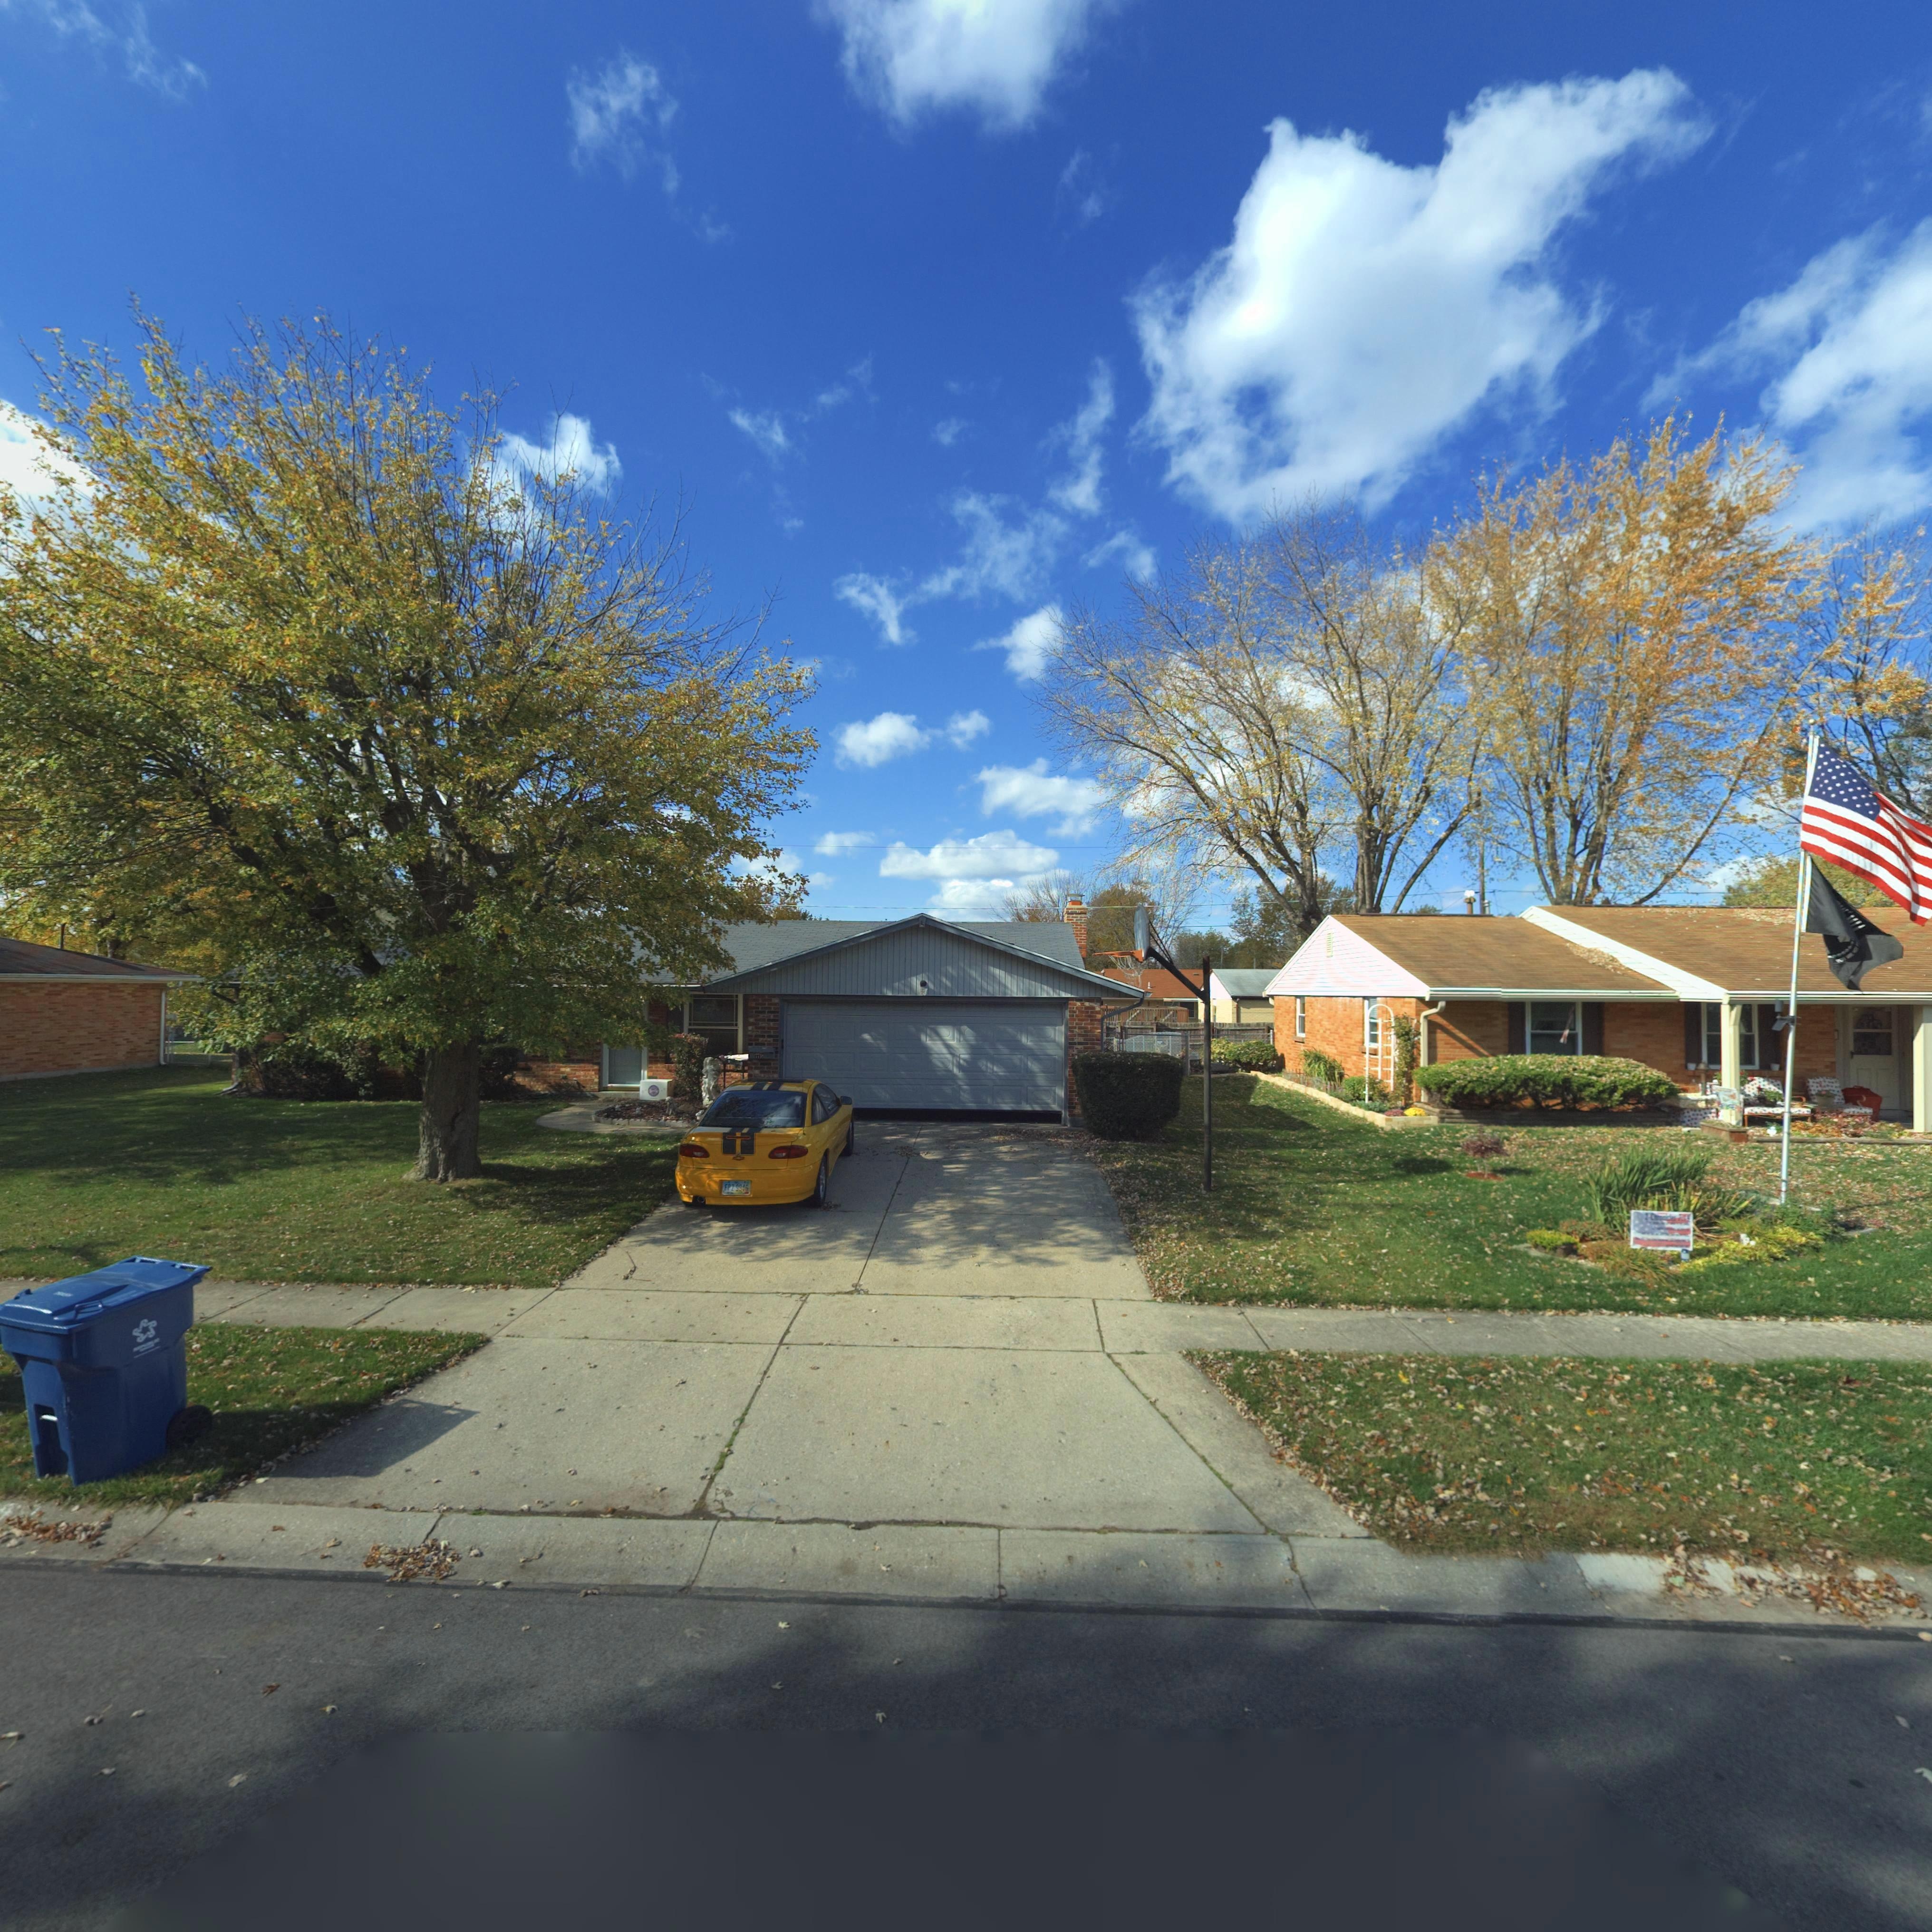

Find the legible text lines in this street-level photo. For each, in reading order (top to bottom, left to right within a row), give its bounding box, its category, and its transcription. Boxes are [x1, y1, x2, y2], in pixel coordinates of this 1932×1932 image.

[754, 1053, 764, 1059] StreetNumber: 7718